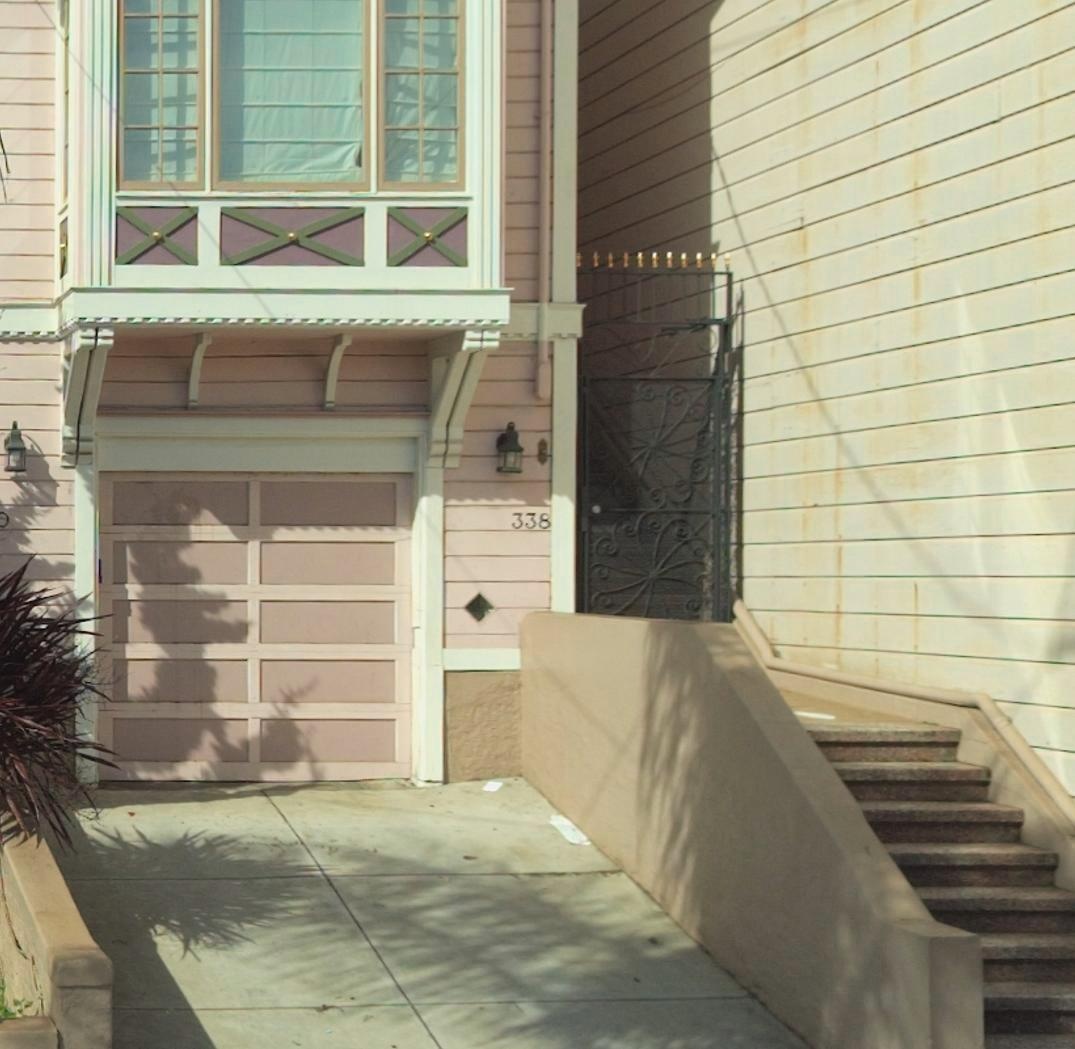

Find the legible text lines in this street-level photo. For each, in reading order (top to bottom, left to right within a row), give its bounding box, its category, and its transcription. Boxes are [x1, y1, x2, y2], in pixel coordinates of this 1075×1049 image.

[510, 512, 551, 531] StreetNumber: 338